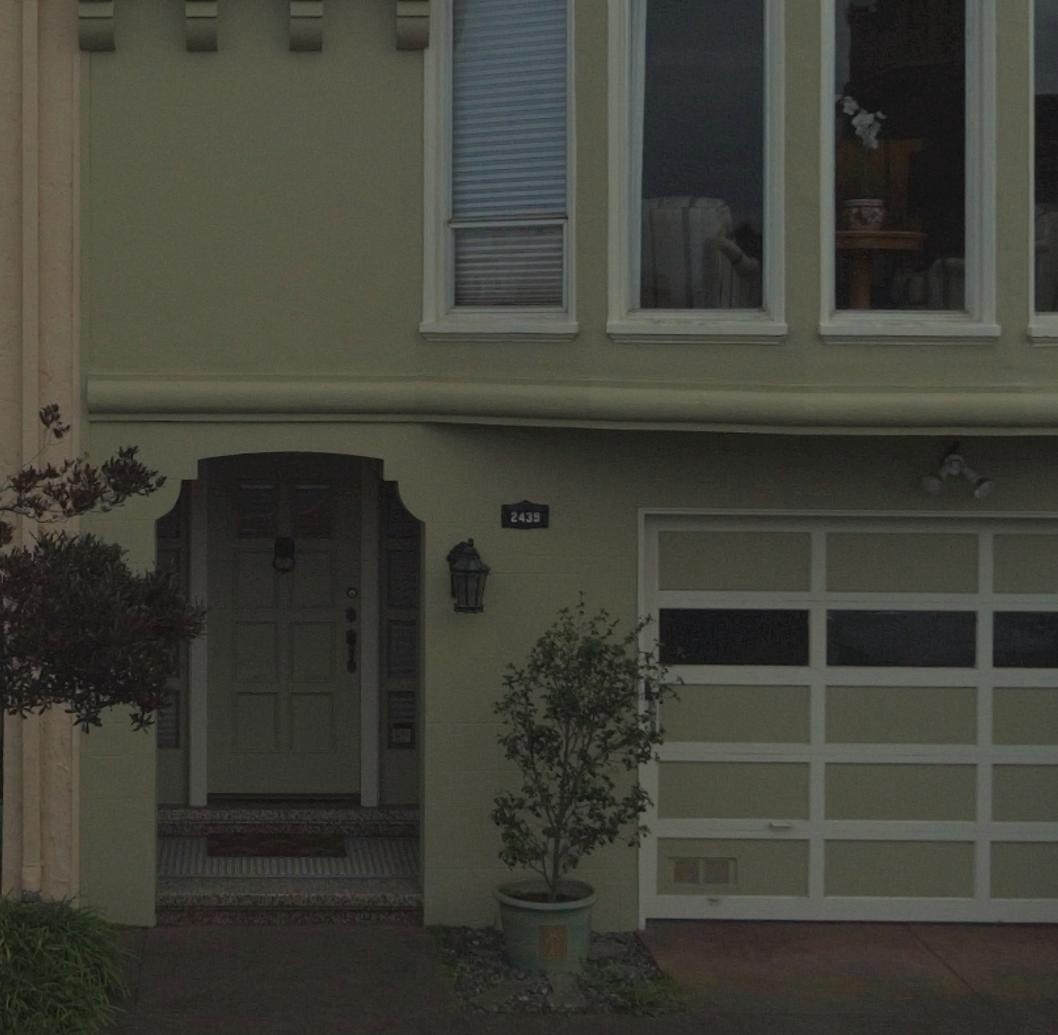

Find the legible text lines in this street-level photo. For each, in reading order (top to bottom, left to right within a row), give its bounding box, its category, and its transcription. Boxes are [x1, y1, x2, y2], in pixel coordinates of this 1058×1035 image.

[508, 509, 544, 527] StreetNumber: 2439